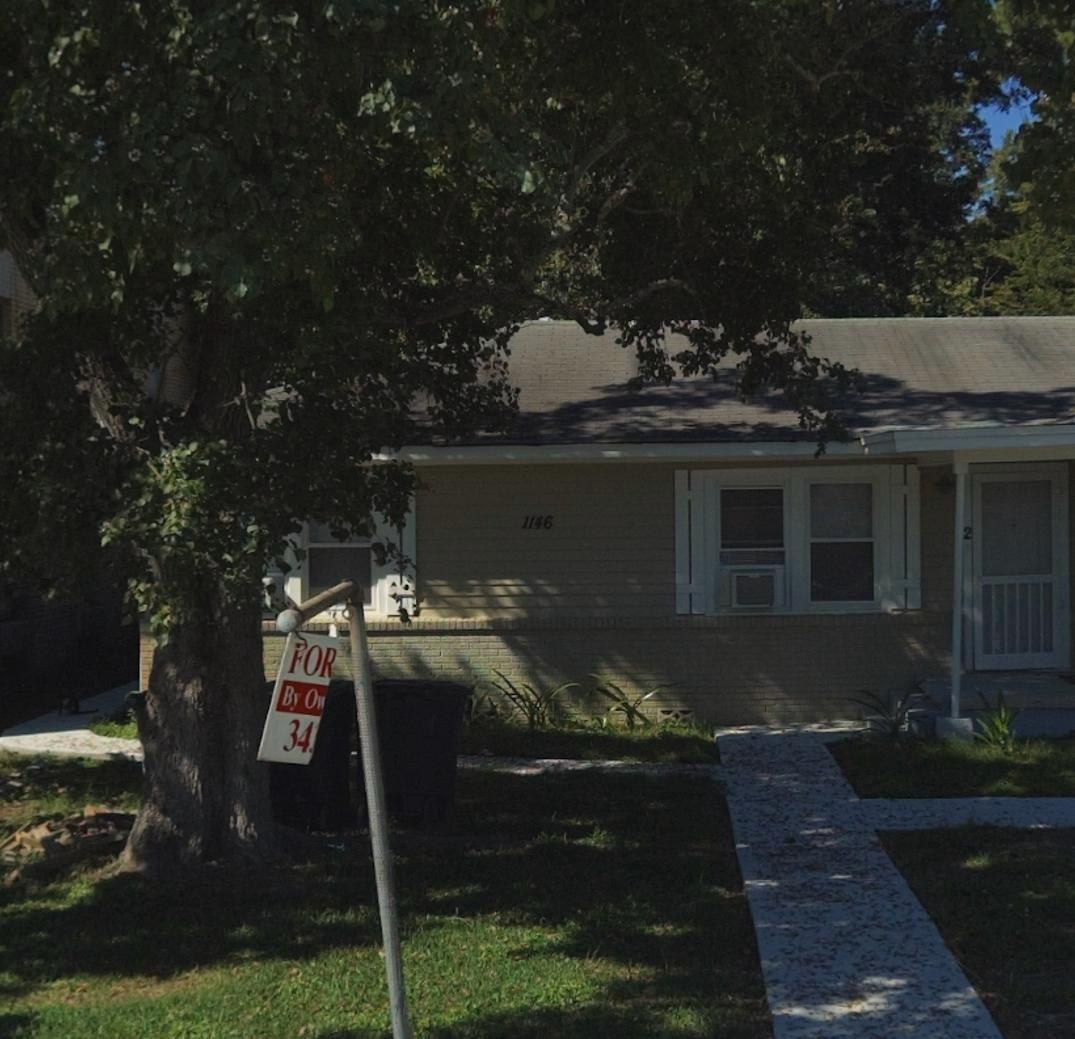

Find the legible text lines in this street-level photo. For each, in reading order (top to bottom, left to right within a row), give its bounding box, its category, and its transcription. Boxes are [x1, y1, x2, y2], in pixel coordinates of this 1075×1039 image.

[521, 514, 554, 530] StreetNumber: 1146
[963, 526, 973, 540] StreetNumber: 2
[285, 641, 339, 679] None: *OR
[280, 685, 319, 712] None: By O
[281, 718, 314, 754] None: 34